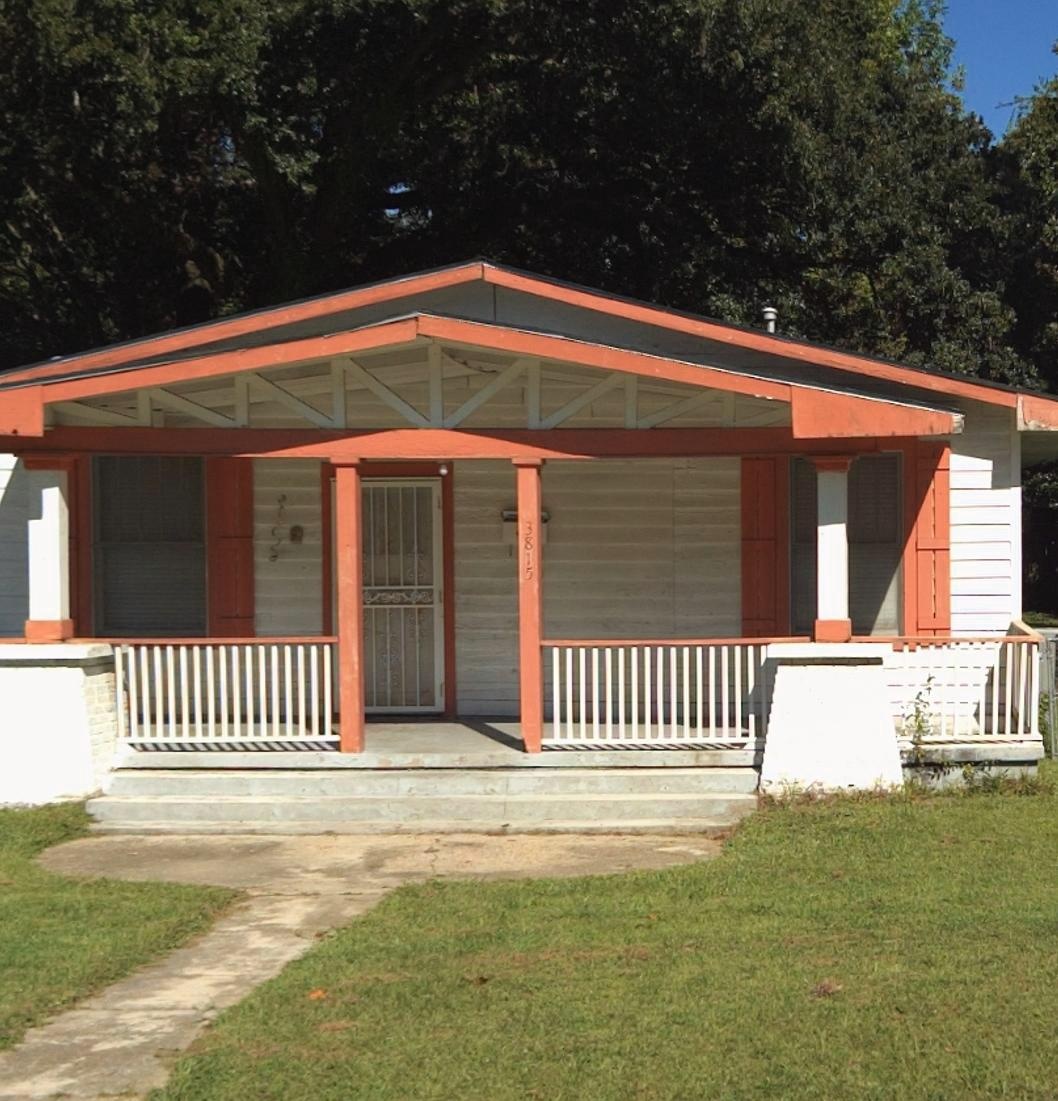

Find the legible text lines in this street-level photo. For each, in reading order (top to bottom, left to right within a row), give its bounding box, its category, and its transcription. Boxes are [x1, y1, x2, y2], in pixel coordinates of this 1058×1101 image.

[524, 520, 534, 581] StreetNumber: 3815